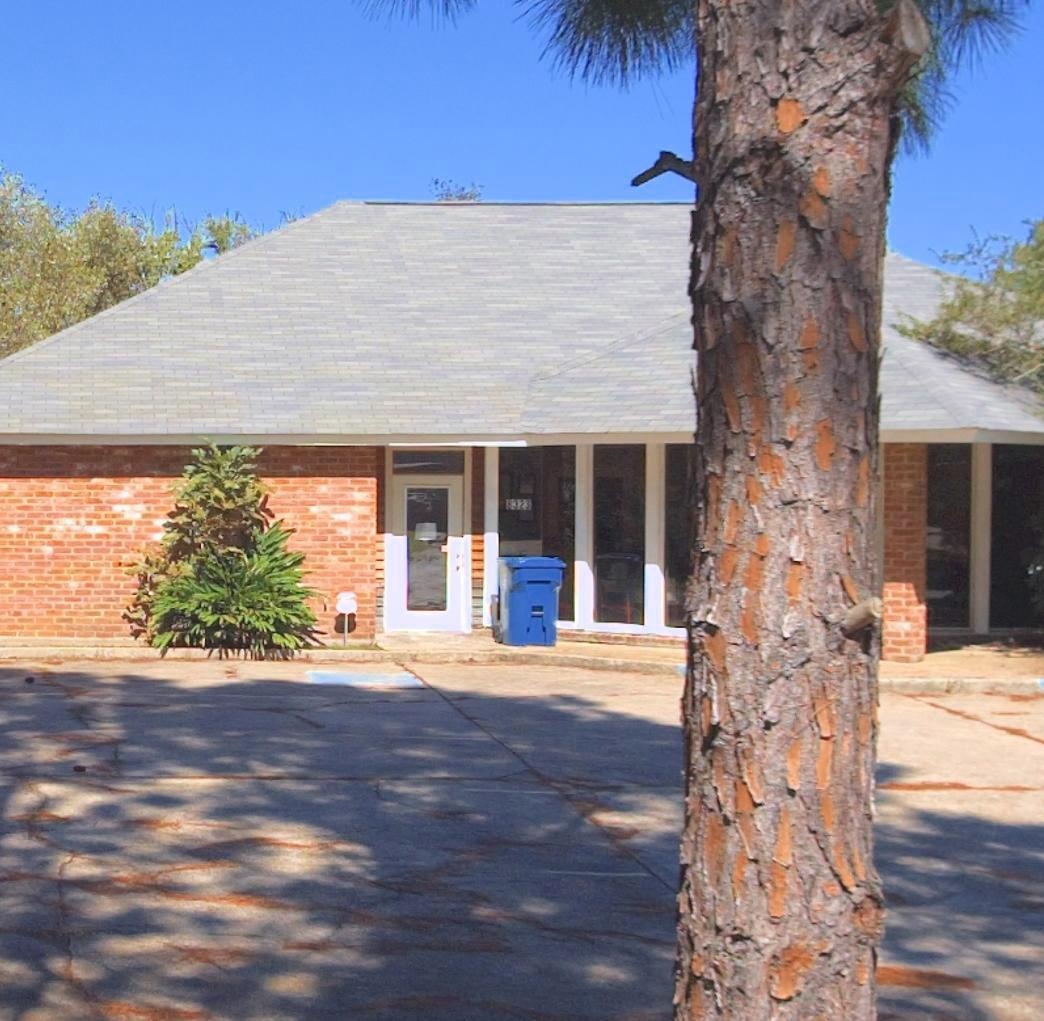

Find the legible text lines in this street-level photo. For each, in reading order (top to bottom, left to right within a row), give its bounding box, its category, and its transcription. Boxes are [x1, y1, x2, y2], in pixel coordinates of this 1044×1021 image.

[505, 498, 533, 512] StreetNumber: 8323